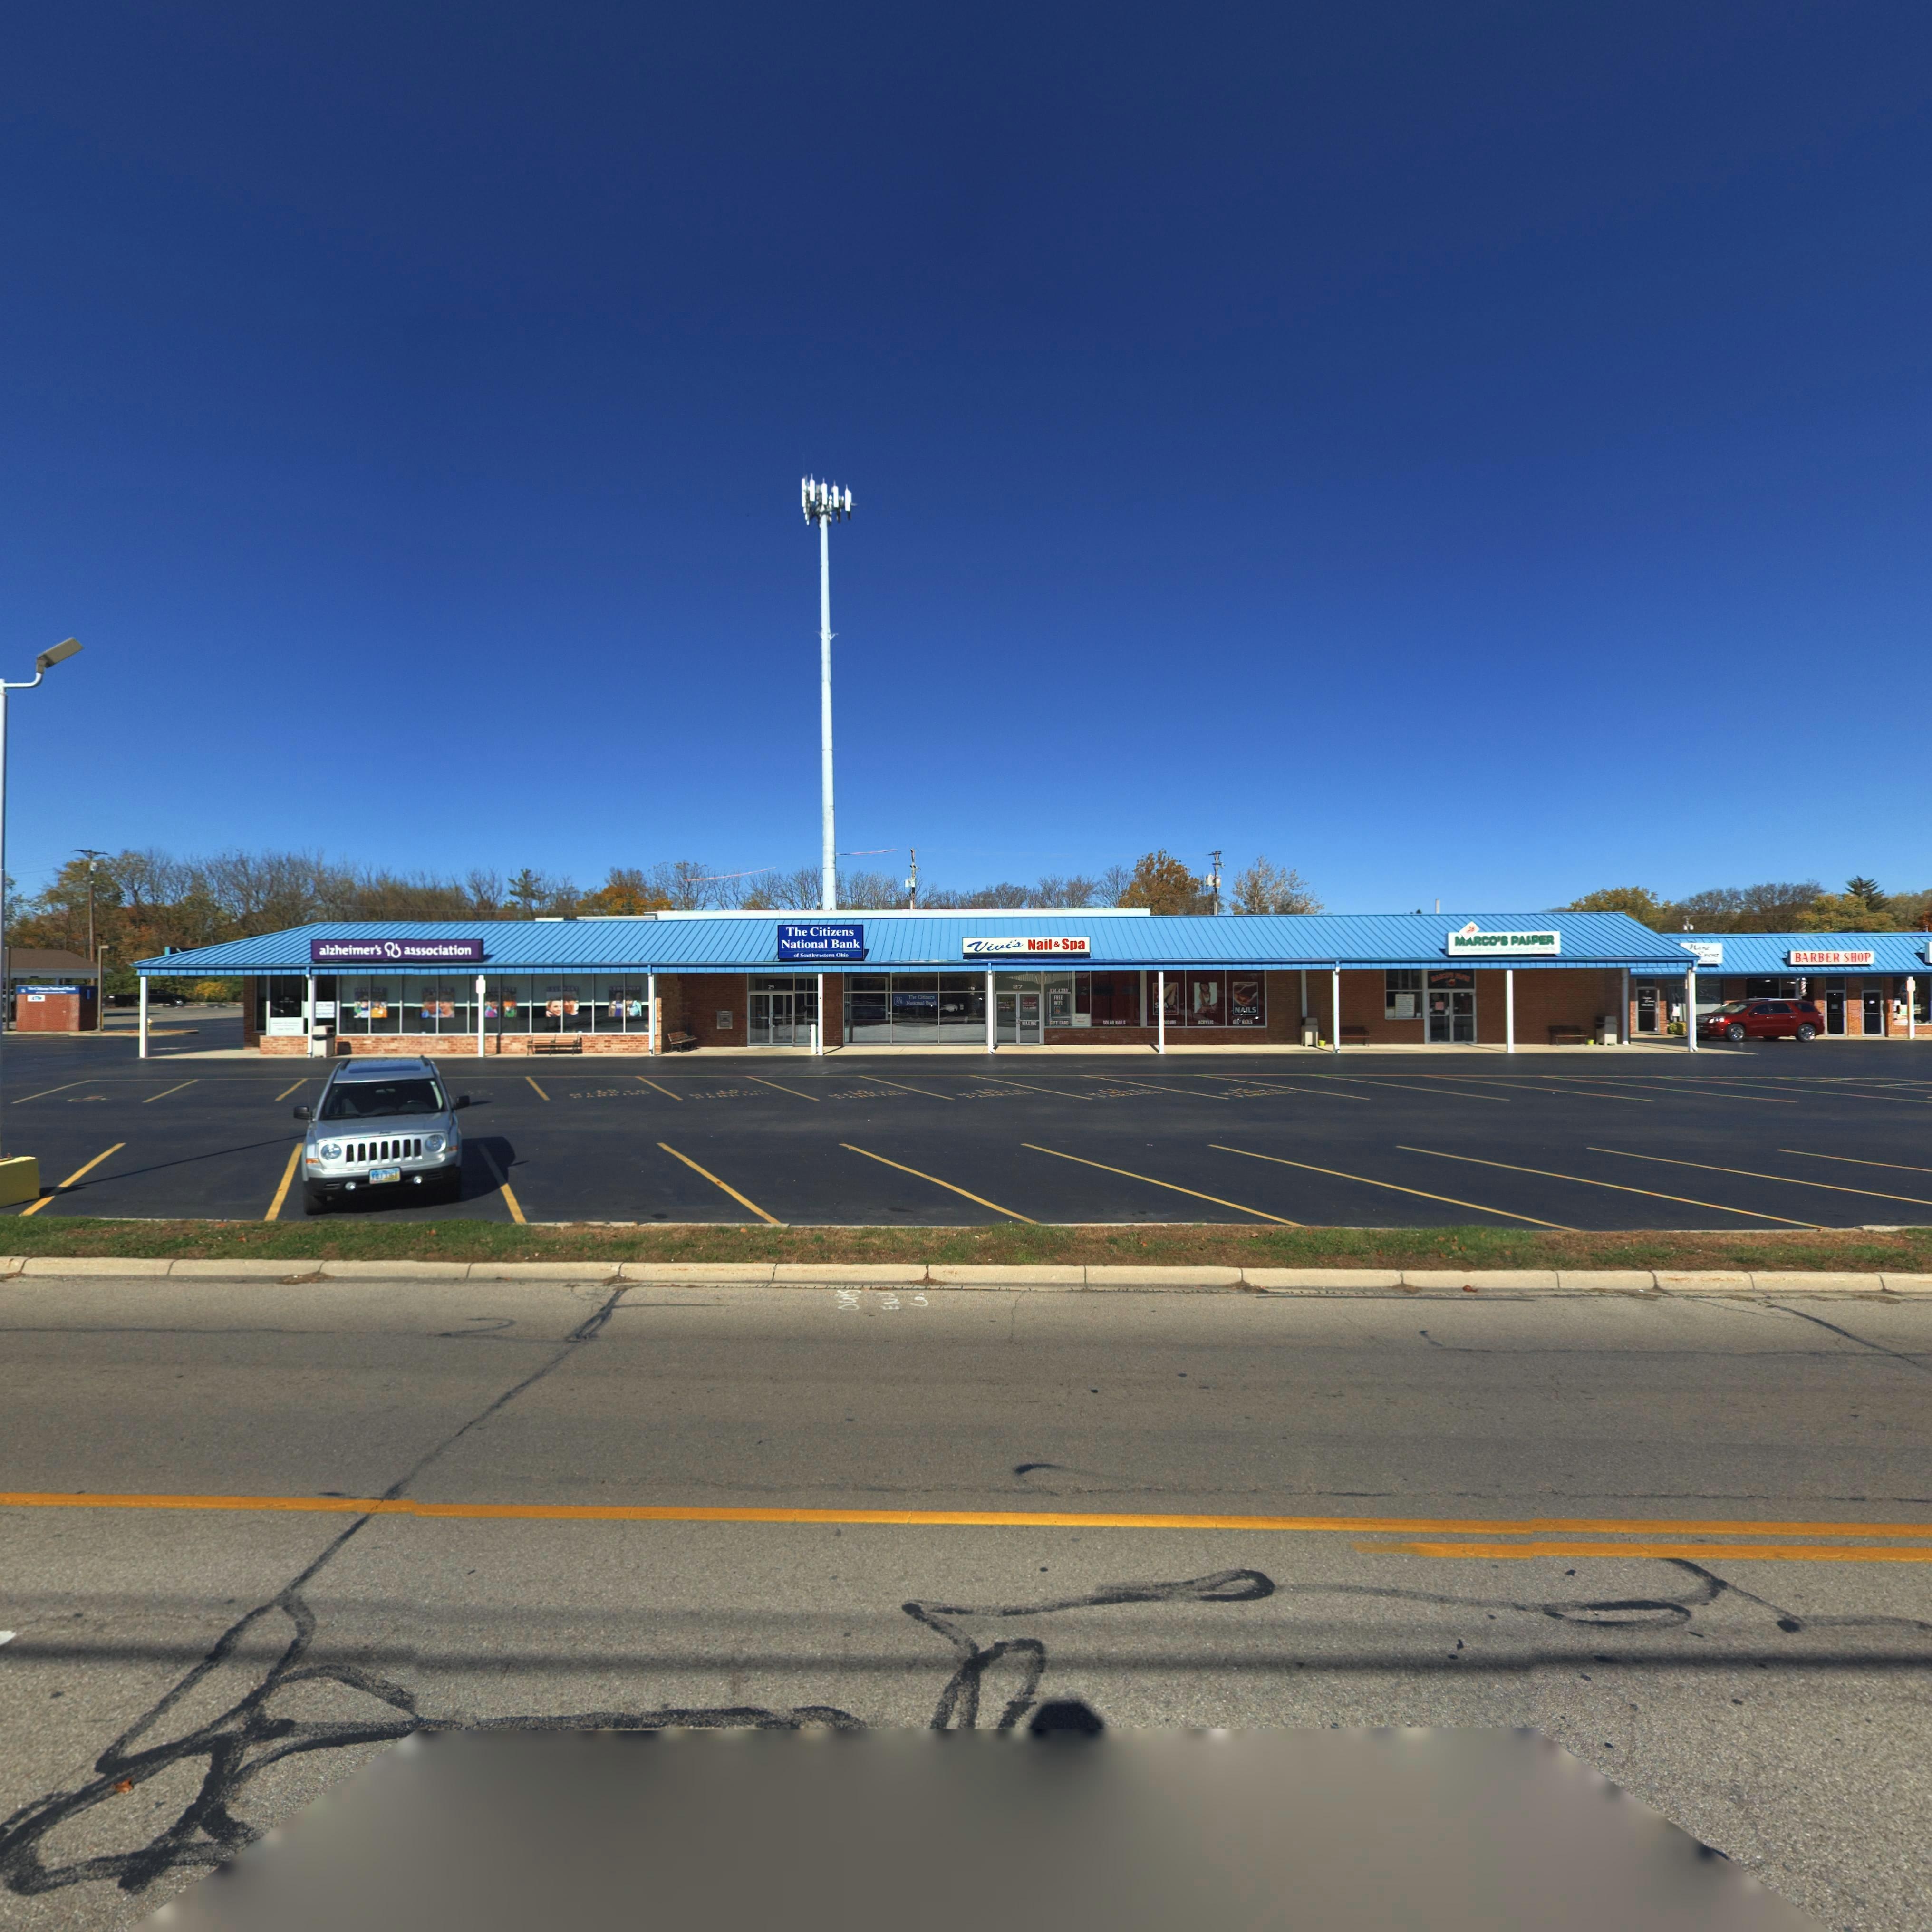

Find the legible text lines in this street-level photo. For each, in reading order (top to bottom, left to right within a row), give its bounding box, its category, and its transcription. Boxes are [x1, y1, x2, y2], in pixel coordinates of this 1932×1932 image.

[785, 926, 855, 937] BusinessName: The Citizens
[780, 938, 861, 949] BusinessName: National Bank
[966, 937, 1086, 952] BusinessName: Vivi's Nail & Spa
[1453, 934, 1555, 947] BusinessName: MARCO'S PA*PER
[319, 944, 473, 956] BusinessName: alzheimer's * association
[793, 952, 850, 958] None: of Southwestern Ohio
[1794, 952, 1871, 963] BusinessName: BARBER SHOP
[767, 984, 775, 990] StreetNumber: 29
[1012, 984, 1024, 990] StreetNumber: 27
[1695, 987, 1708, 997] BusinessName: E
[895, 996, 903, 1001] None: TC
[908, 995, 936, 1000] BusinessName: The Citizens
[1053, 995, 1063, 1000] None: FREE
[895, 1000, 903, 1004] None: NB
[905, 1000, 937, 1005] BusinessName: National Bank
[1053, 1000, 1063, 1005] None: WIFI
[1154, 1002, 1169, 1009] None: S*A
[1234, 1006, 1257, 1014] None: NAILS
[1022, 1021, 1037, 1026] None: WAXING
[1049, 1020, 1069, 1025] None: GIFT CARD
[1101, 1020, 1127, 1025] None: SOLAR *AILS
[1166, 1019, 1177, 1025] None: CURE
[1197, 1019, 1214, 1025] None: ACRYLIC
[1232, 1019, 1253, 1025] None: GEL NAILS
[371, 1170, 398, 1181] None: FQJ*3361